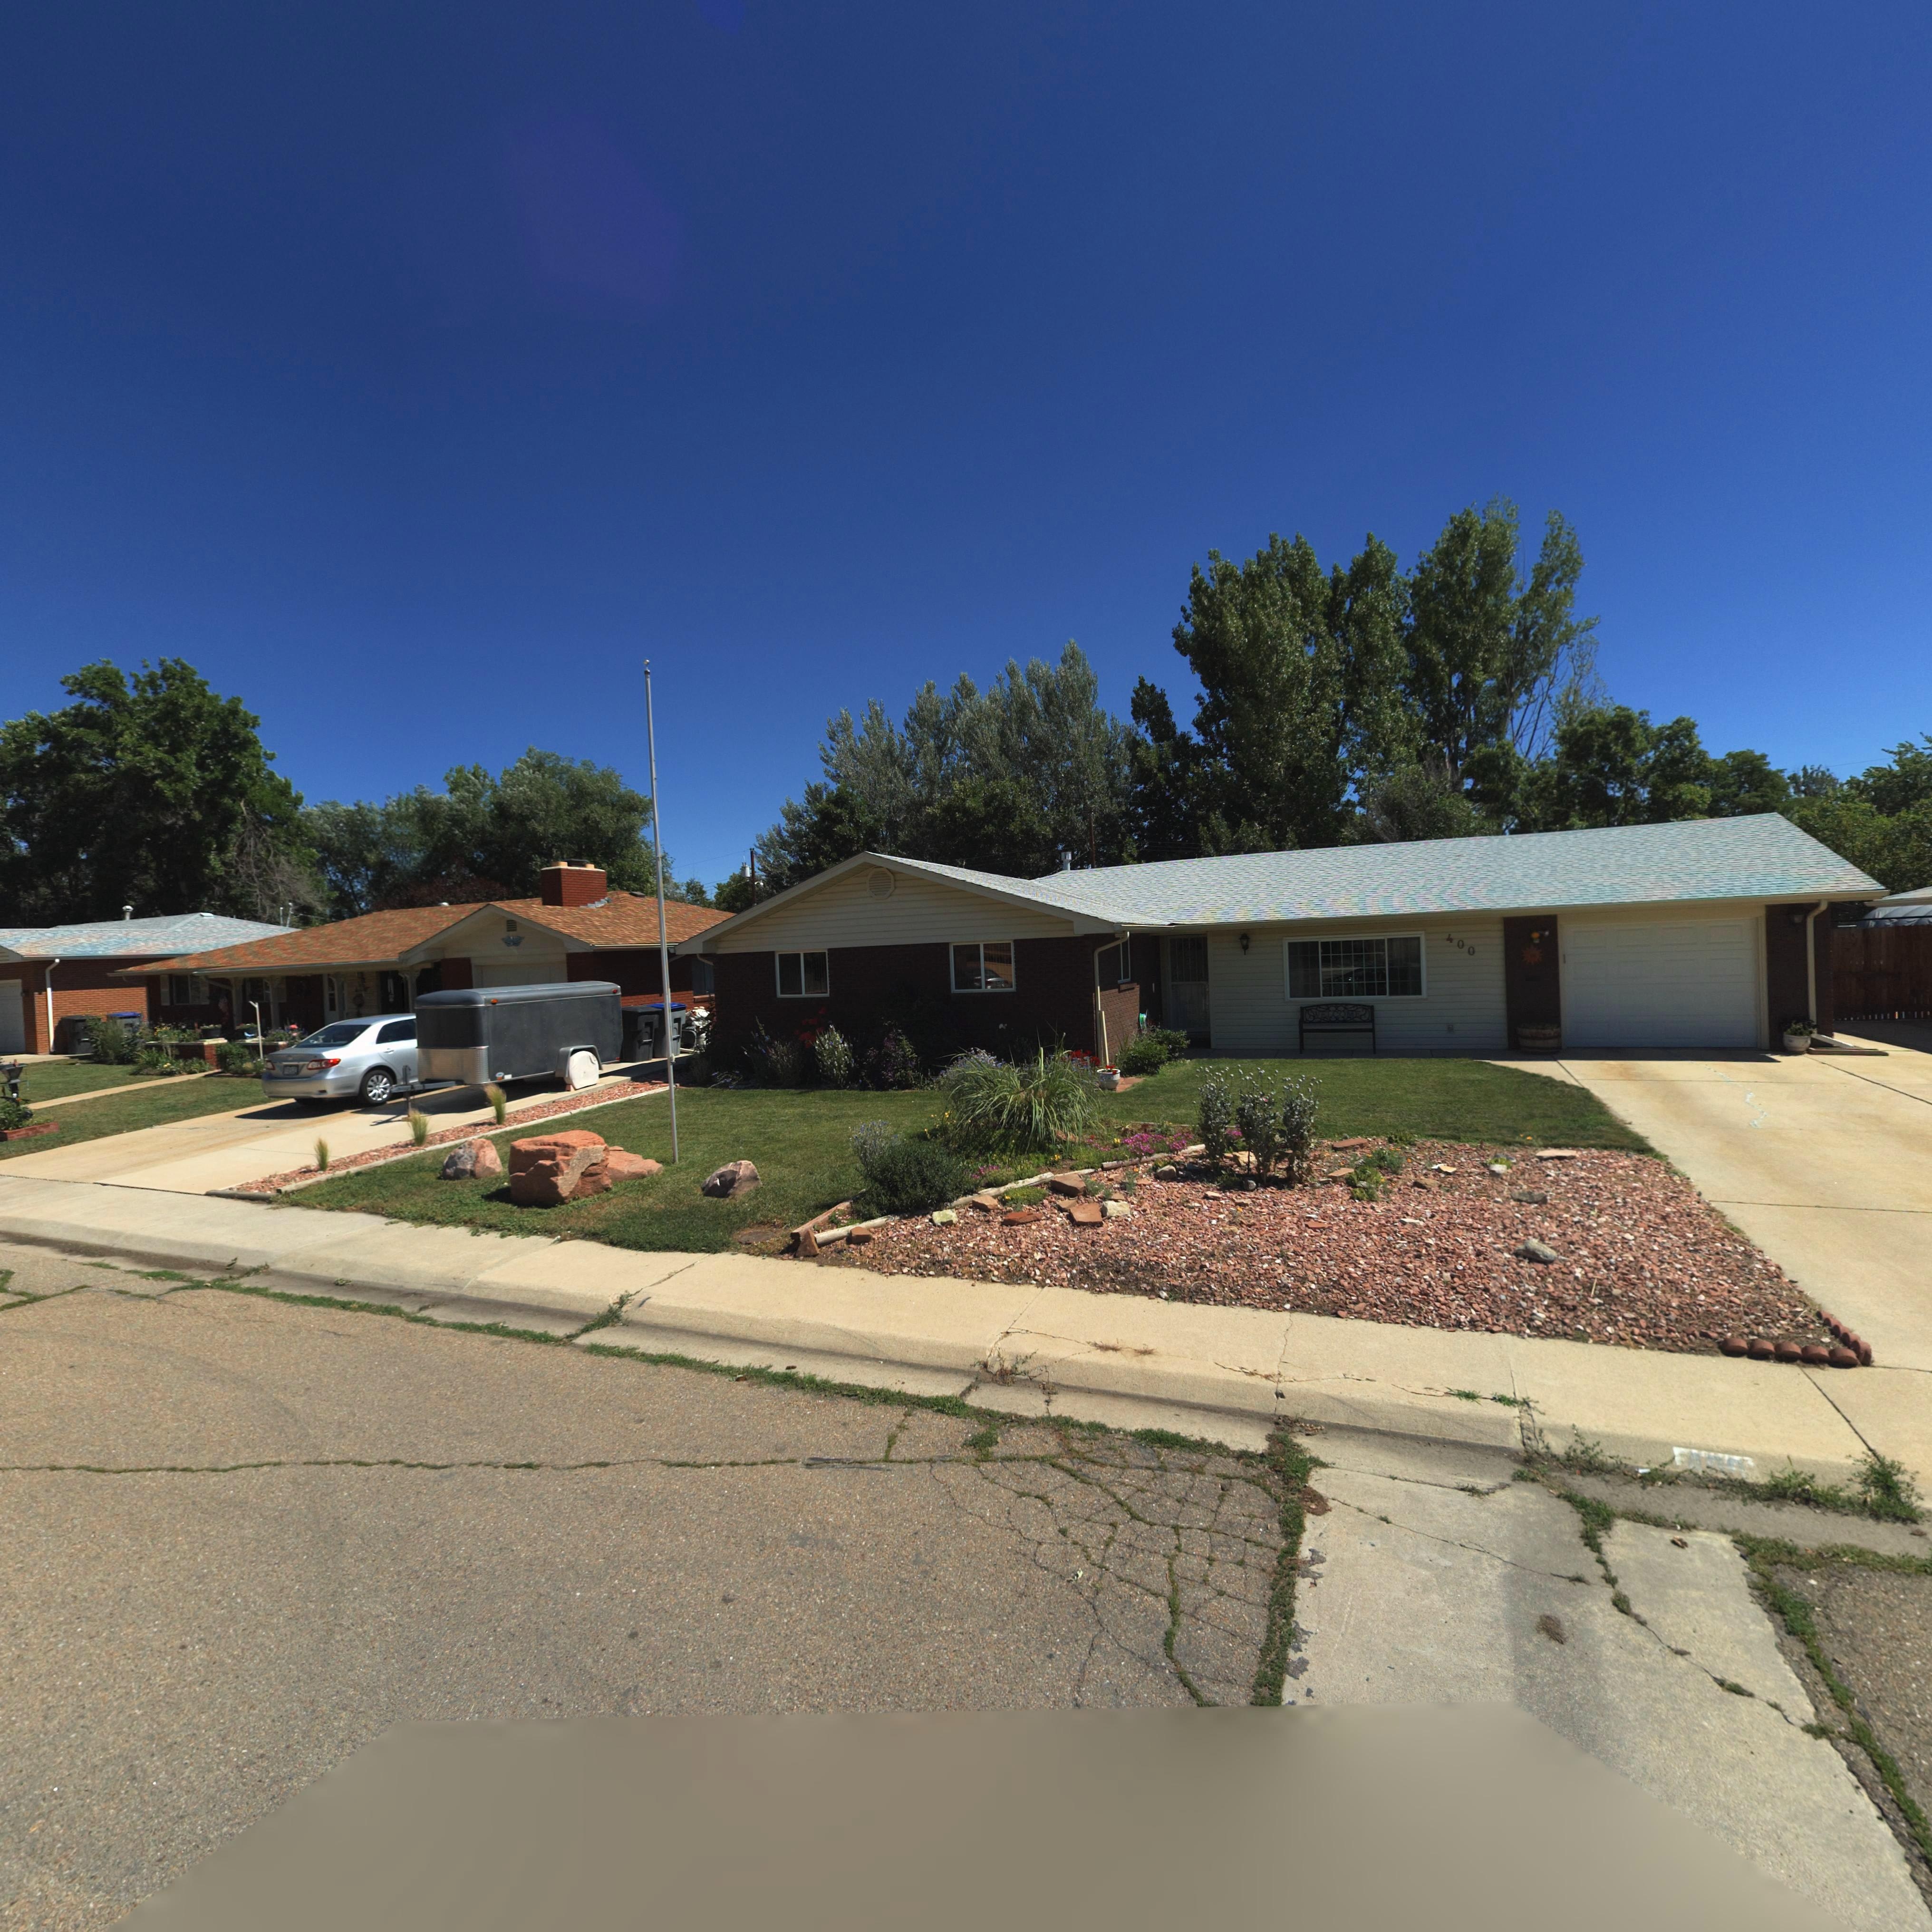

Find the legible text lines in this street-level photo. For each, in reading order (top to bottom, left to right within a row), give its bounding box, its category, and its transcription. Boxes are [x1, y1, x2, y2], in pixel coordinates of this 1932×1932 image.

[1445, 932, 1475, 957] StreetNumber: 400
[1686, 1450, 1749, 1481] StreetNumber: 4**